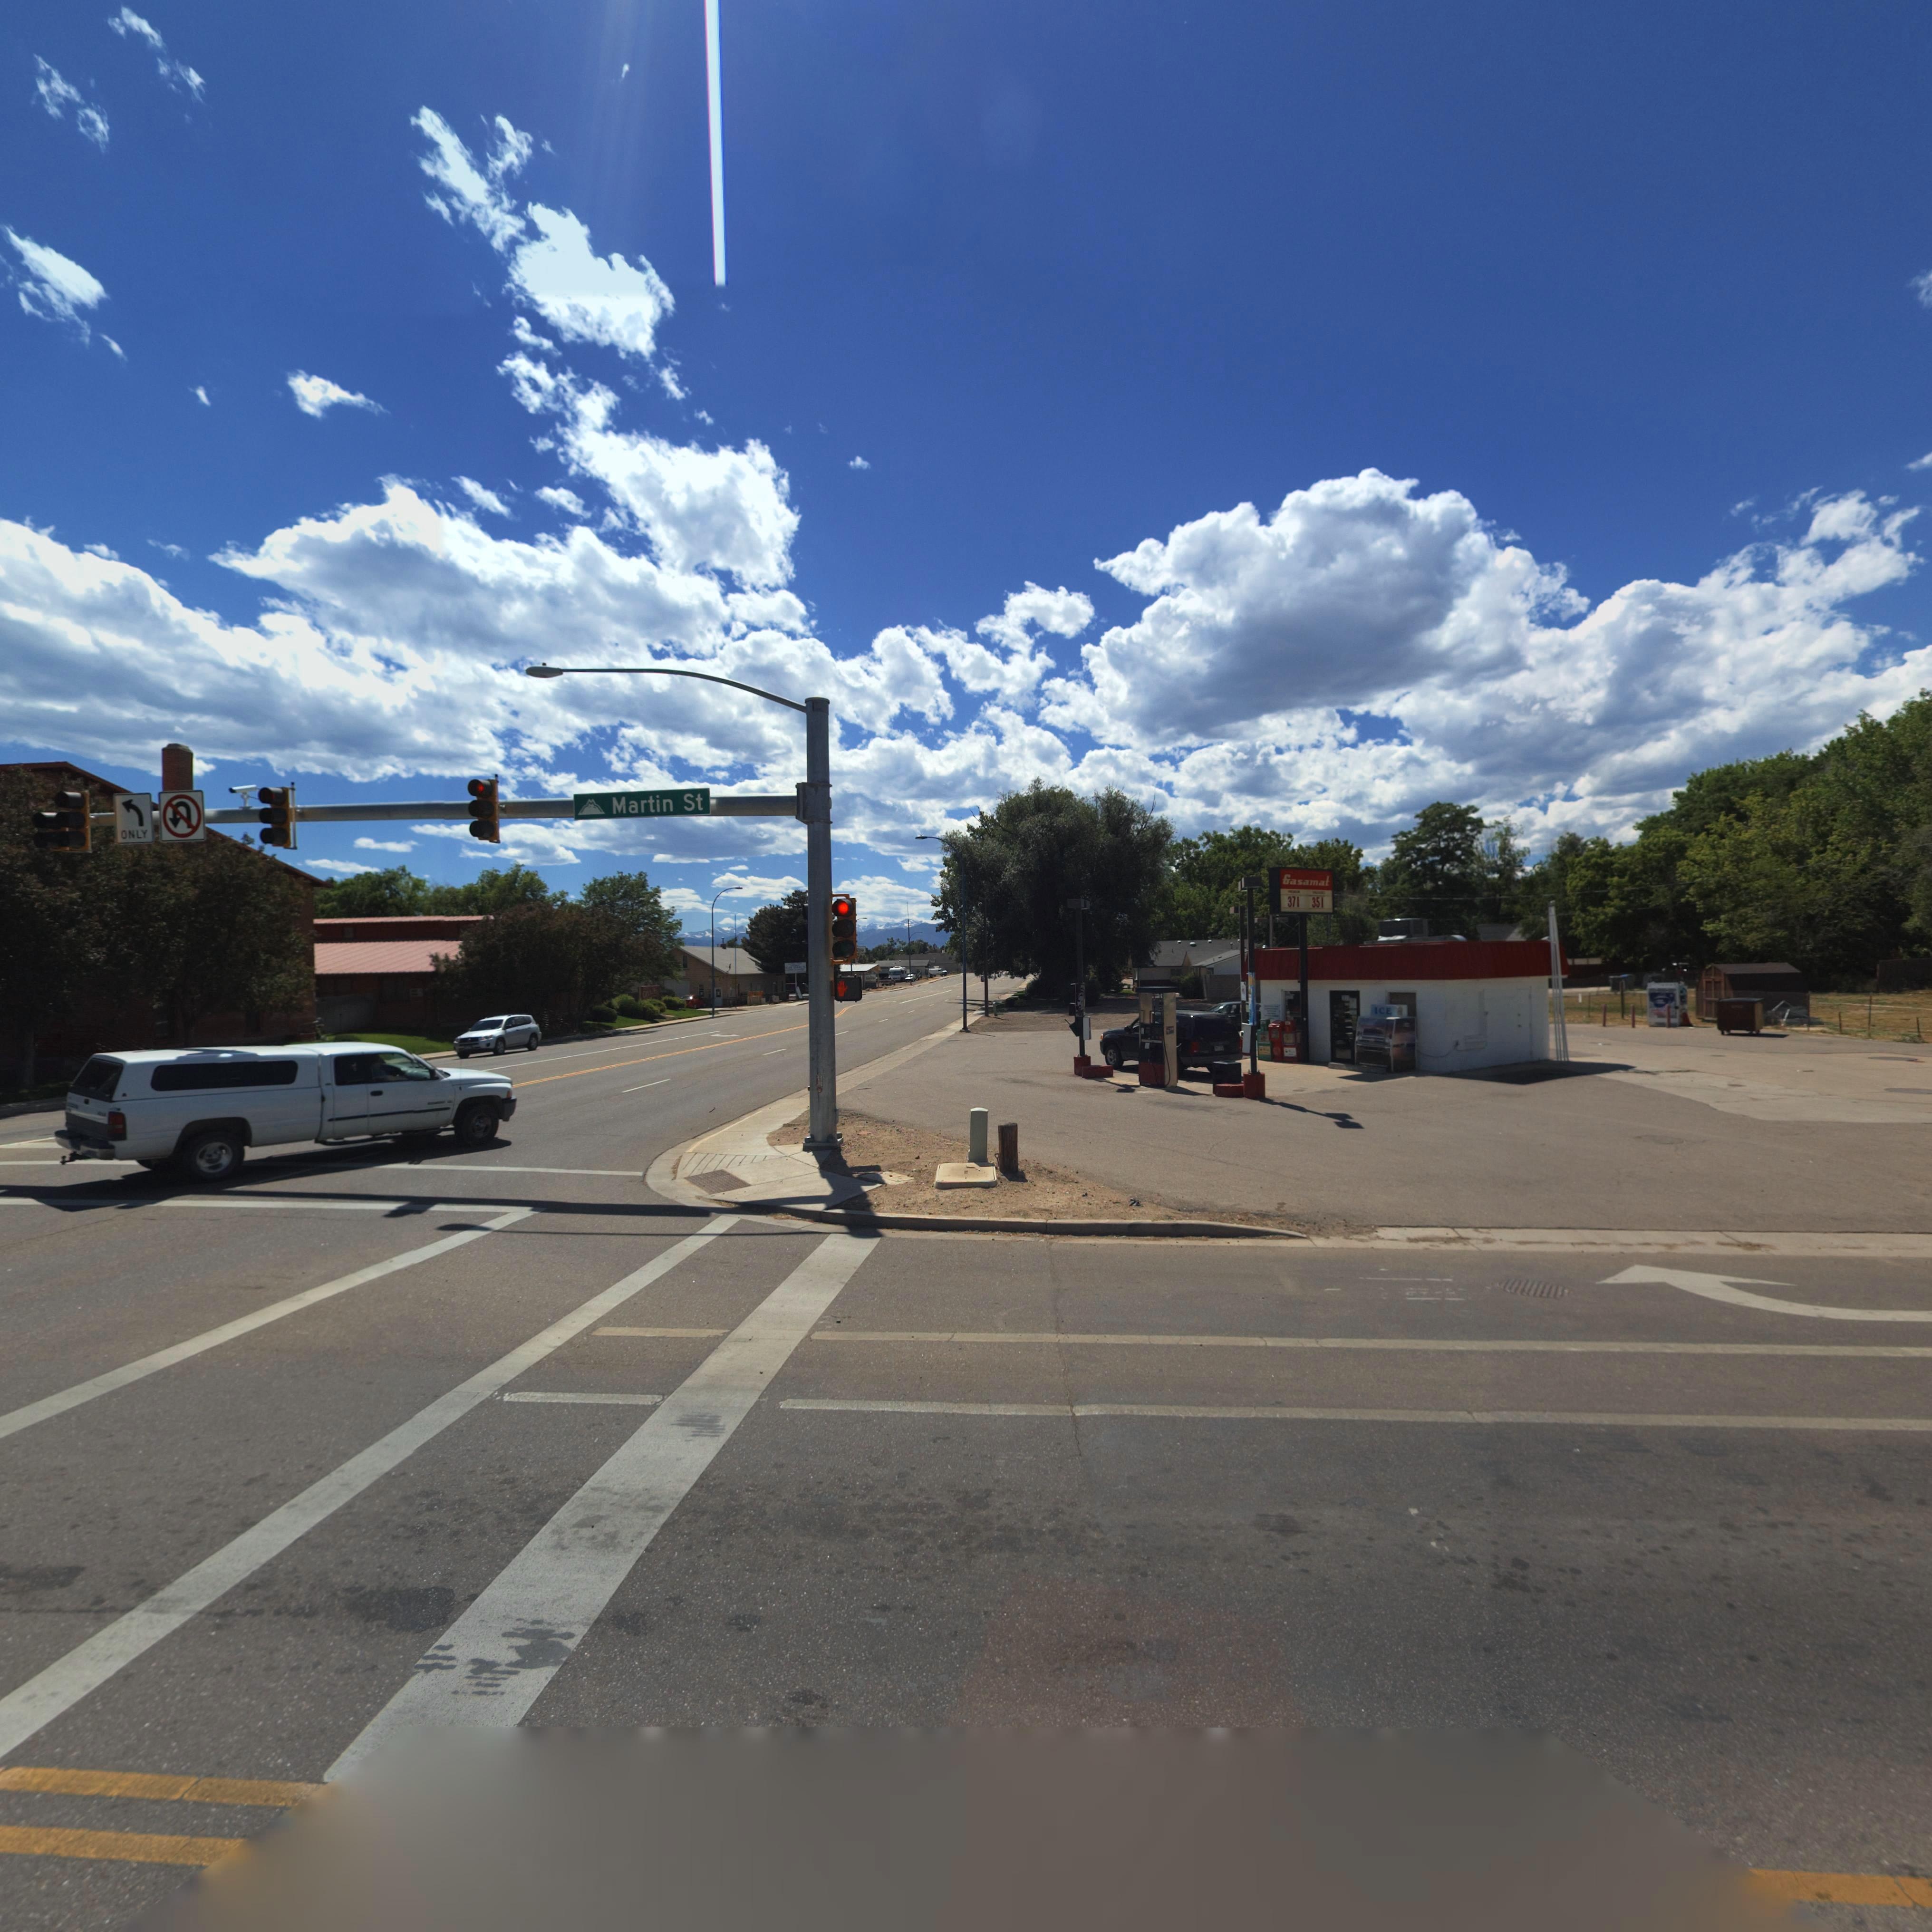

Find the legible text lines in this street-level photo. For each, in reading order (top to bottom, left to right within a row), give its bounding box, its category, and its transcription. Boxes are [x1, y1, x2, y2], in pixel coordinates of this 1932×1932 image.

[612, 792, 703, 814] StreetName: Martin St
[1282, 874, 1330, 886] BusinessName: Gasamat